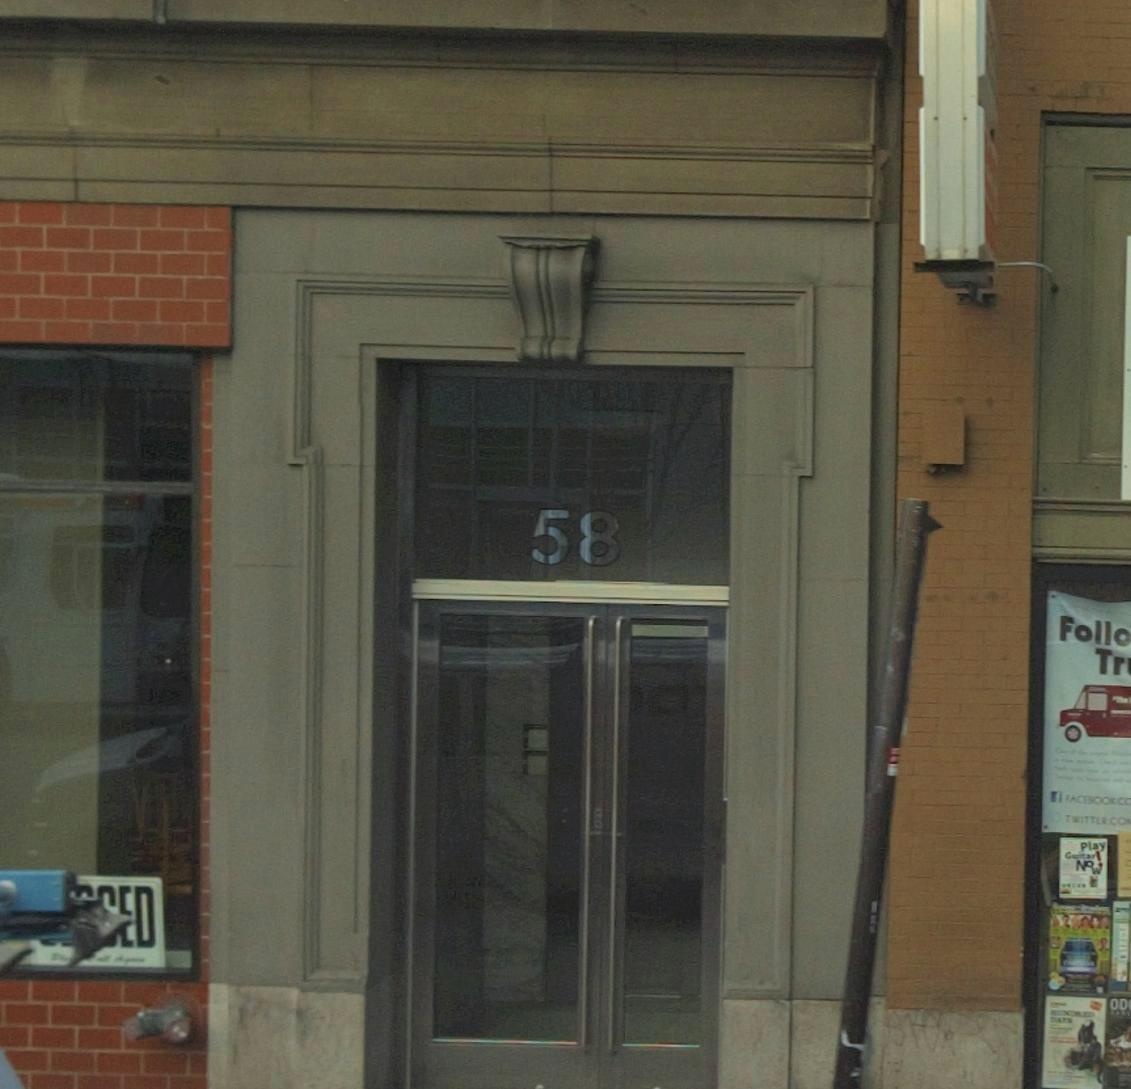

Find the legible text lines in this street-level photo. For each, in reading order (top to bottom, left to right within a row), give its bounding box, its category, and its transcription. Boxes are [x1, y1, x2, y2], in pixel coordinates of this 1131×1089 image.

[525, 505, 624, 569] StreetNumber: 58
[1058, 613, 1131, 649] None: Follo
[1093, 647, 1128, 678] None: Tr
[1063, 793, 1131, 808] None: FACEBOOK.CO
[1062, 813, 1128, 827] None: TWITTER.CO
[1080, 840, 1107, 853] None: Play
[1065, 851, 1097, 860] None: Guitar
[1076, 860, 1105, 875] None: NOW
[133, 884, 157, 950] None: D\
[1108, 997, 1128, 1011] None: OD